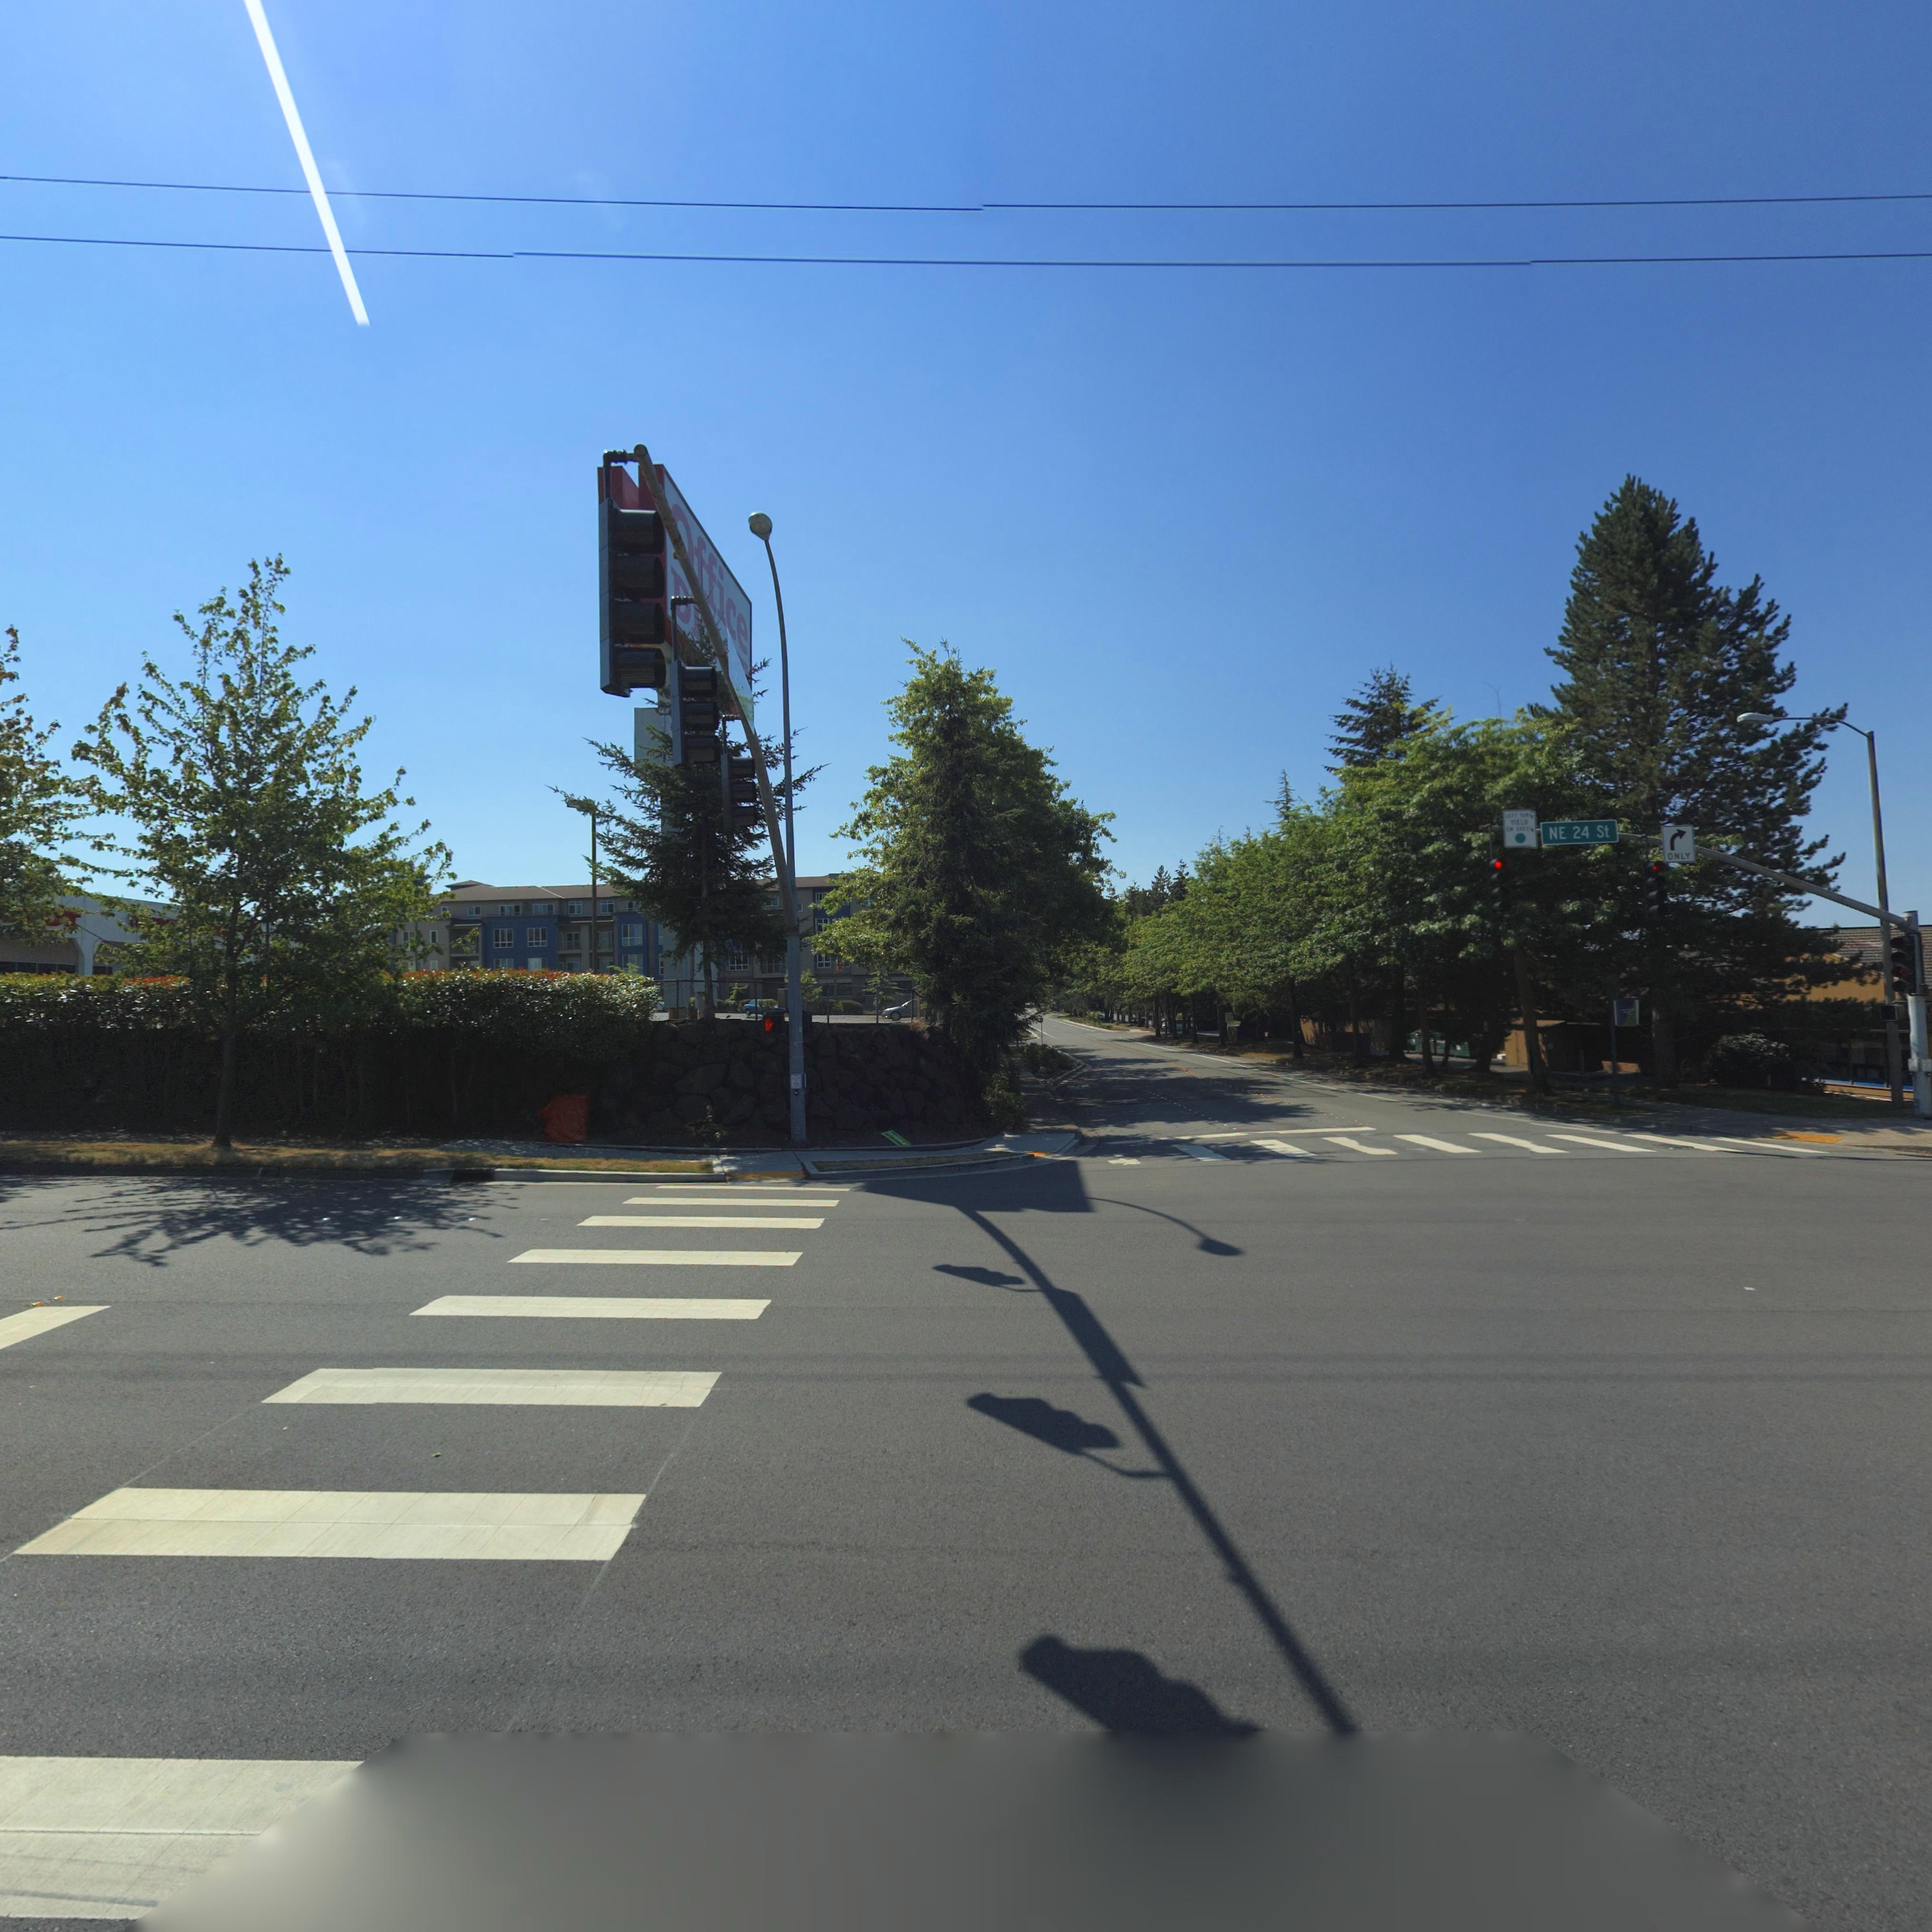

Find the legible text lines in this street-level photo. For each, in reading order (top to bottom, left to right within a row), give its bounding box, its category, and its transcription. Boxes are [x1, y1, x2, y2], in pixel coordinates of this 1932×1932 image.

[1548, 824, 1612, 840] StreetName: NE 24 St
[1667, 851, 1691, 860] TrafficSign: ONLY